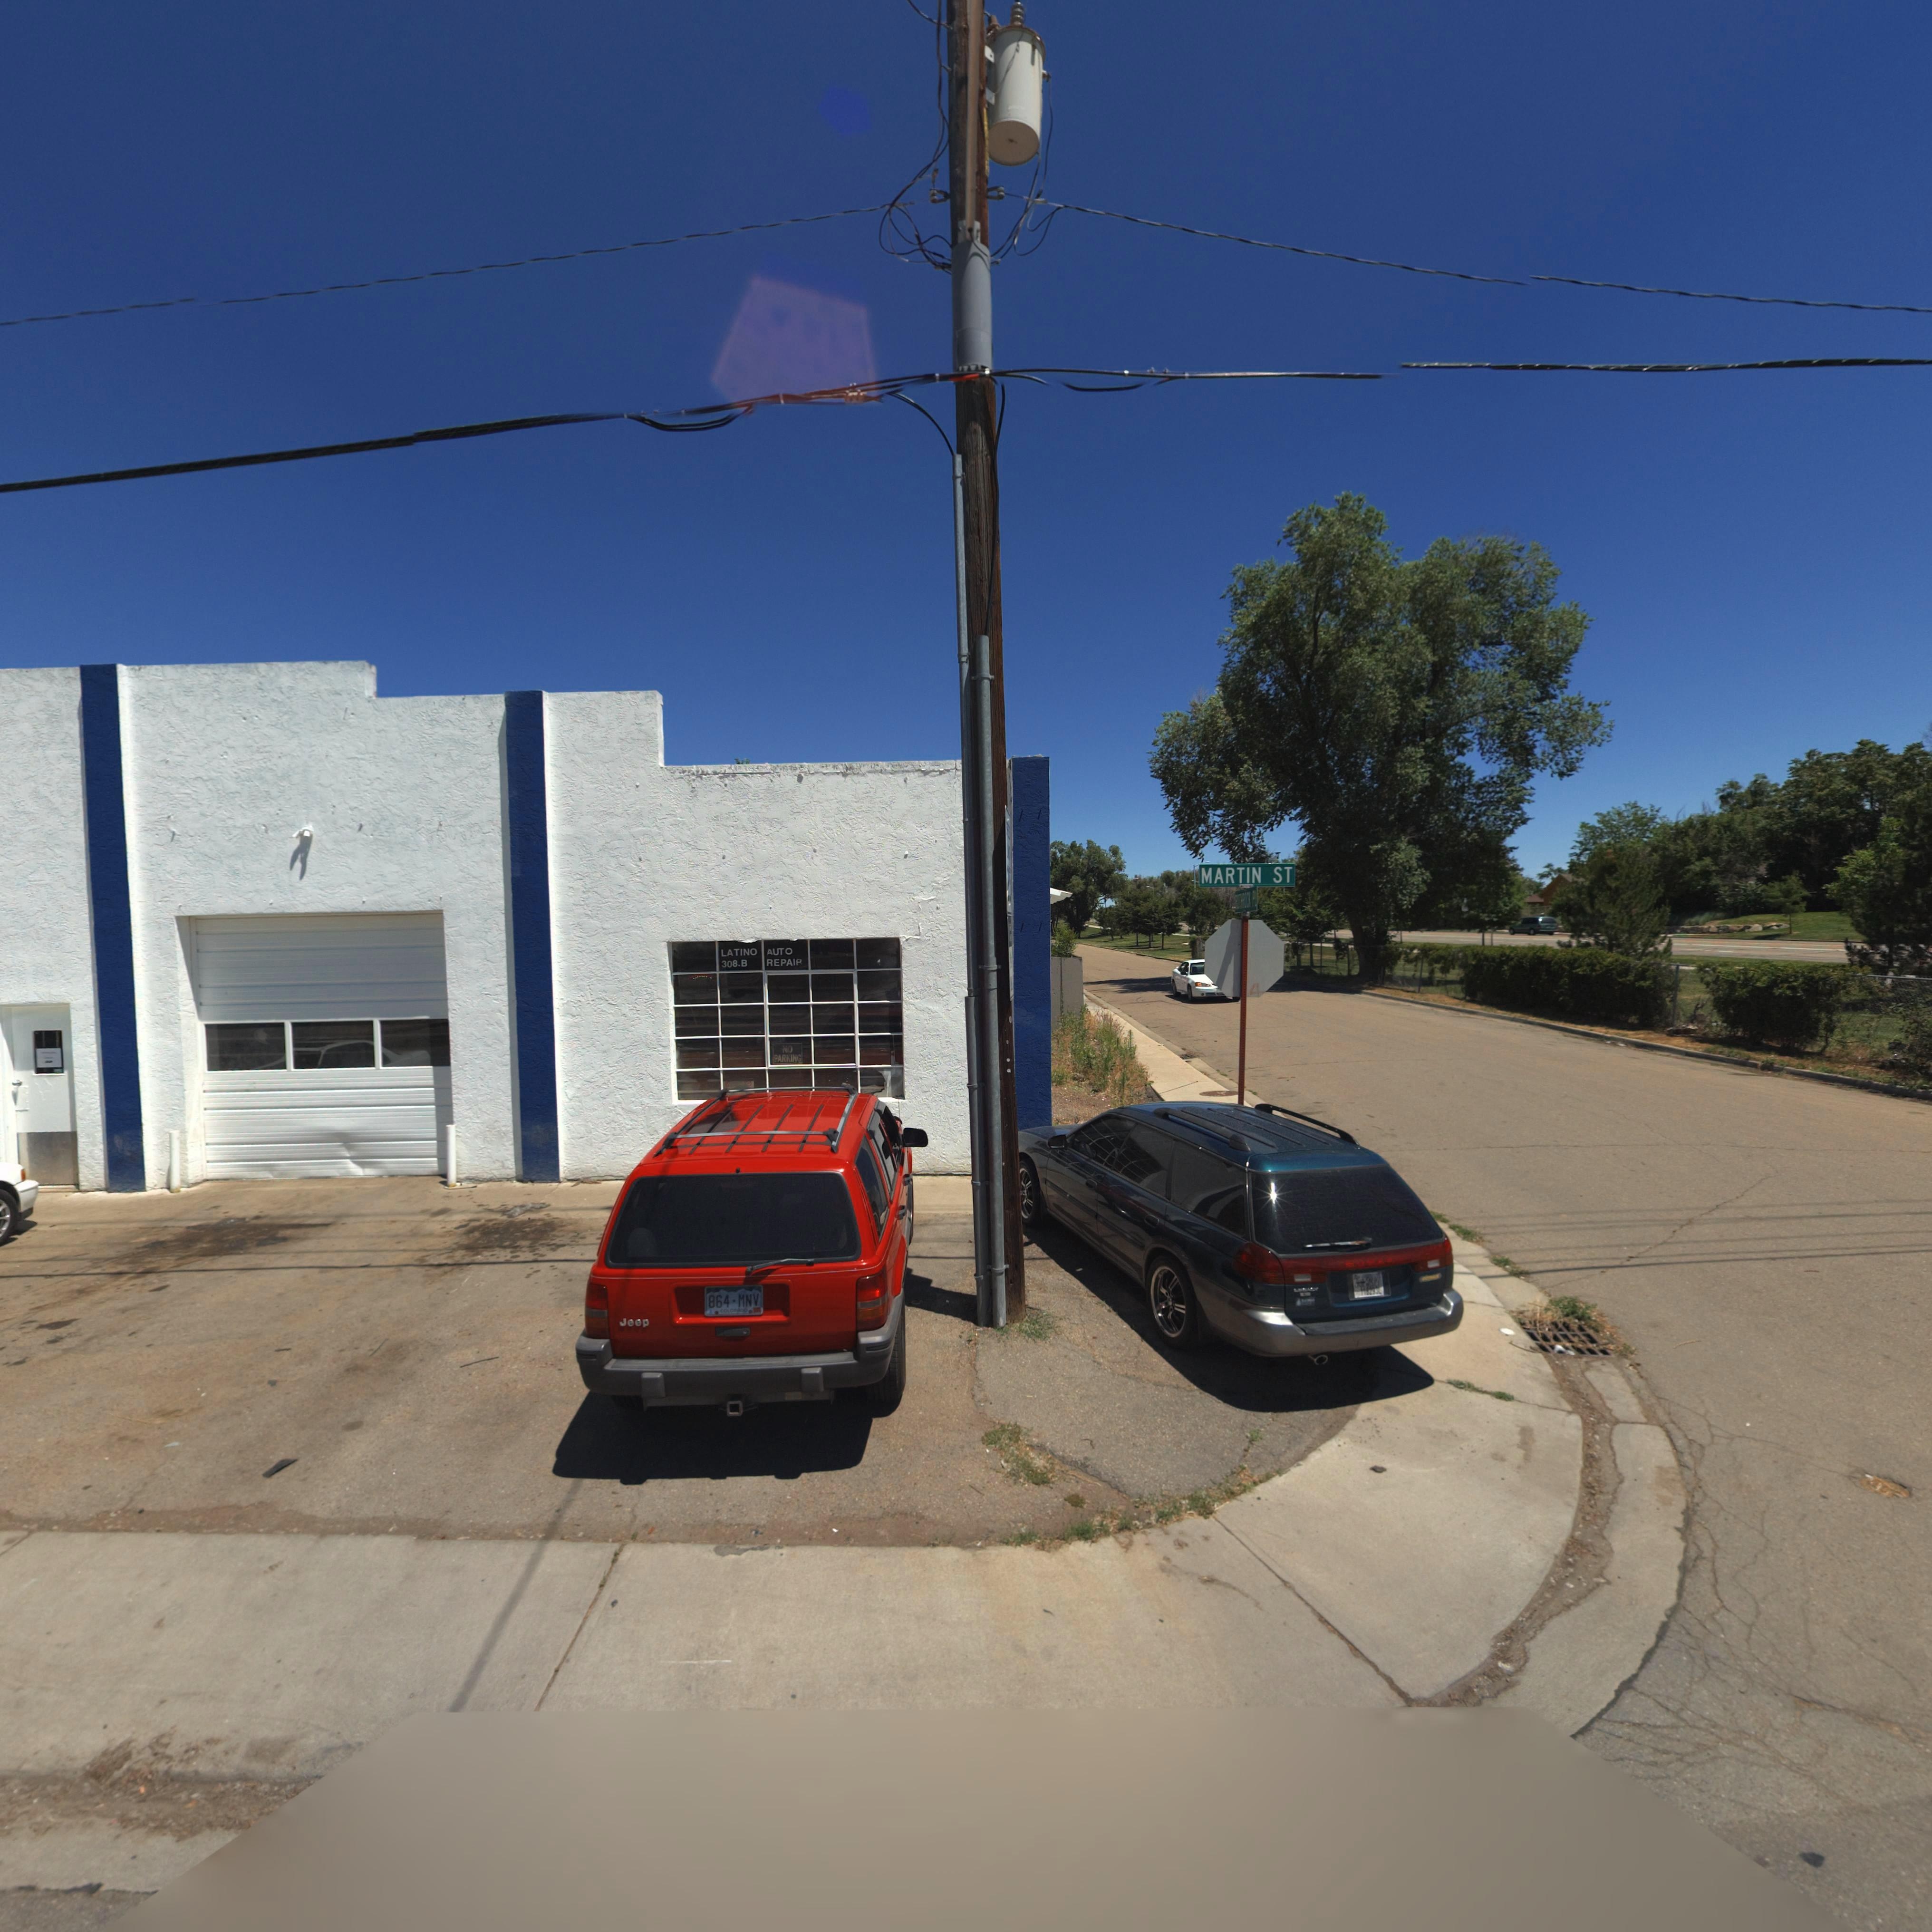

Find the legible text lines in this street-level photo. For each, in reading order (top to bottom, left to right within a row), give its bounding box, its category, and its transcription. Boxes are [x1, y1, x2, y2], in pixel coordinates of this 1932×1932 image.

[1201, 866, 1293, 884] StreetName: MARTIN ST
[1235, 889, 1257, 910] StreetName: *****OCK PL
[720, 947, 793, 957] BusinessName: LATINO * AUTO
[721, 959, 748, 968] StreetNumber: 308.B
[766, 958, 802, 966] BusinessName: REPAIR